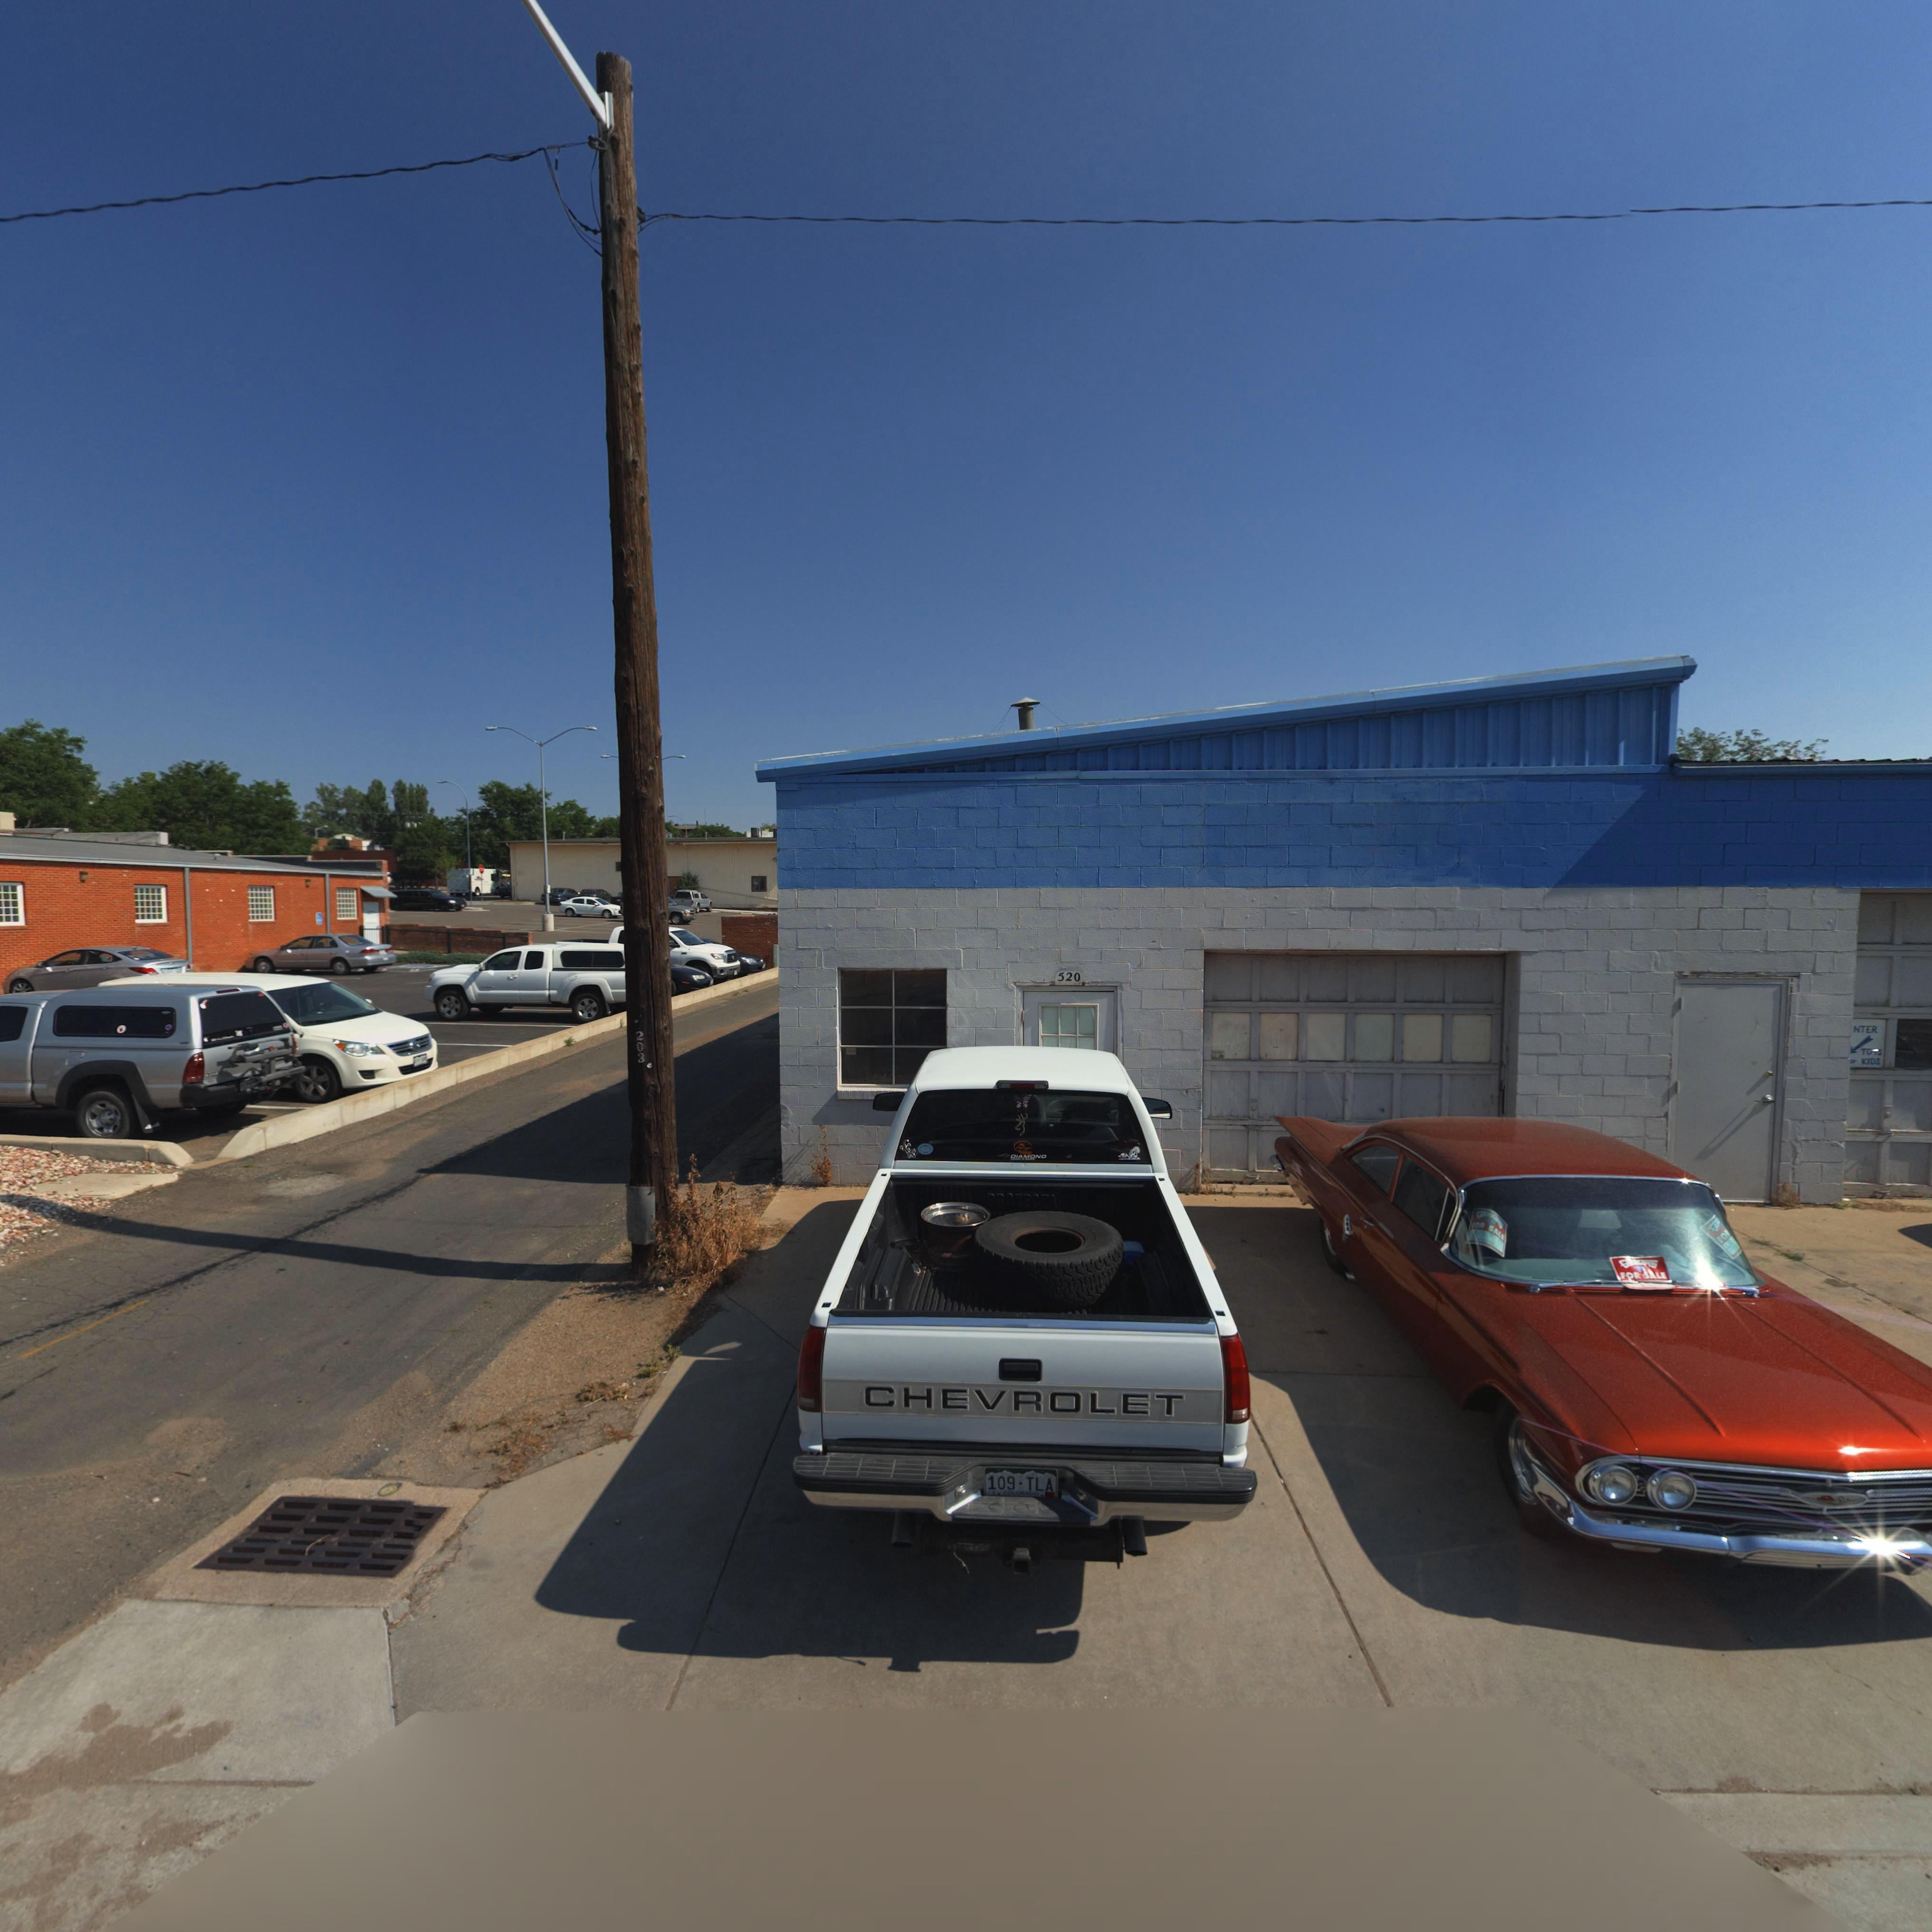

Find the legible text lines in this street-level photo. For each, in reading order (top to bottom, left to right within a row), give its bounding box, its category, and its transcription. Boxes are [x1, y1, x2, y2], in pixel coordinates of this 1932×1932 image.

[1057, 971, 1081, 982] StreetNumber: 520